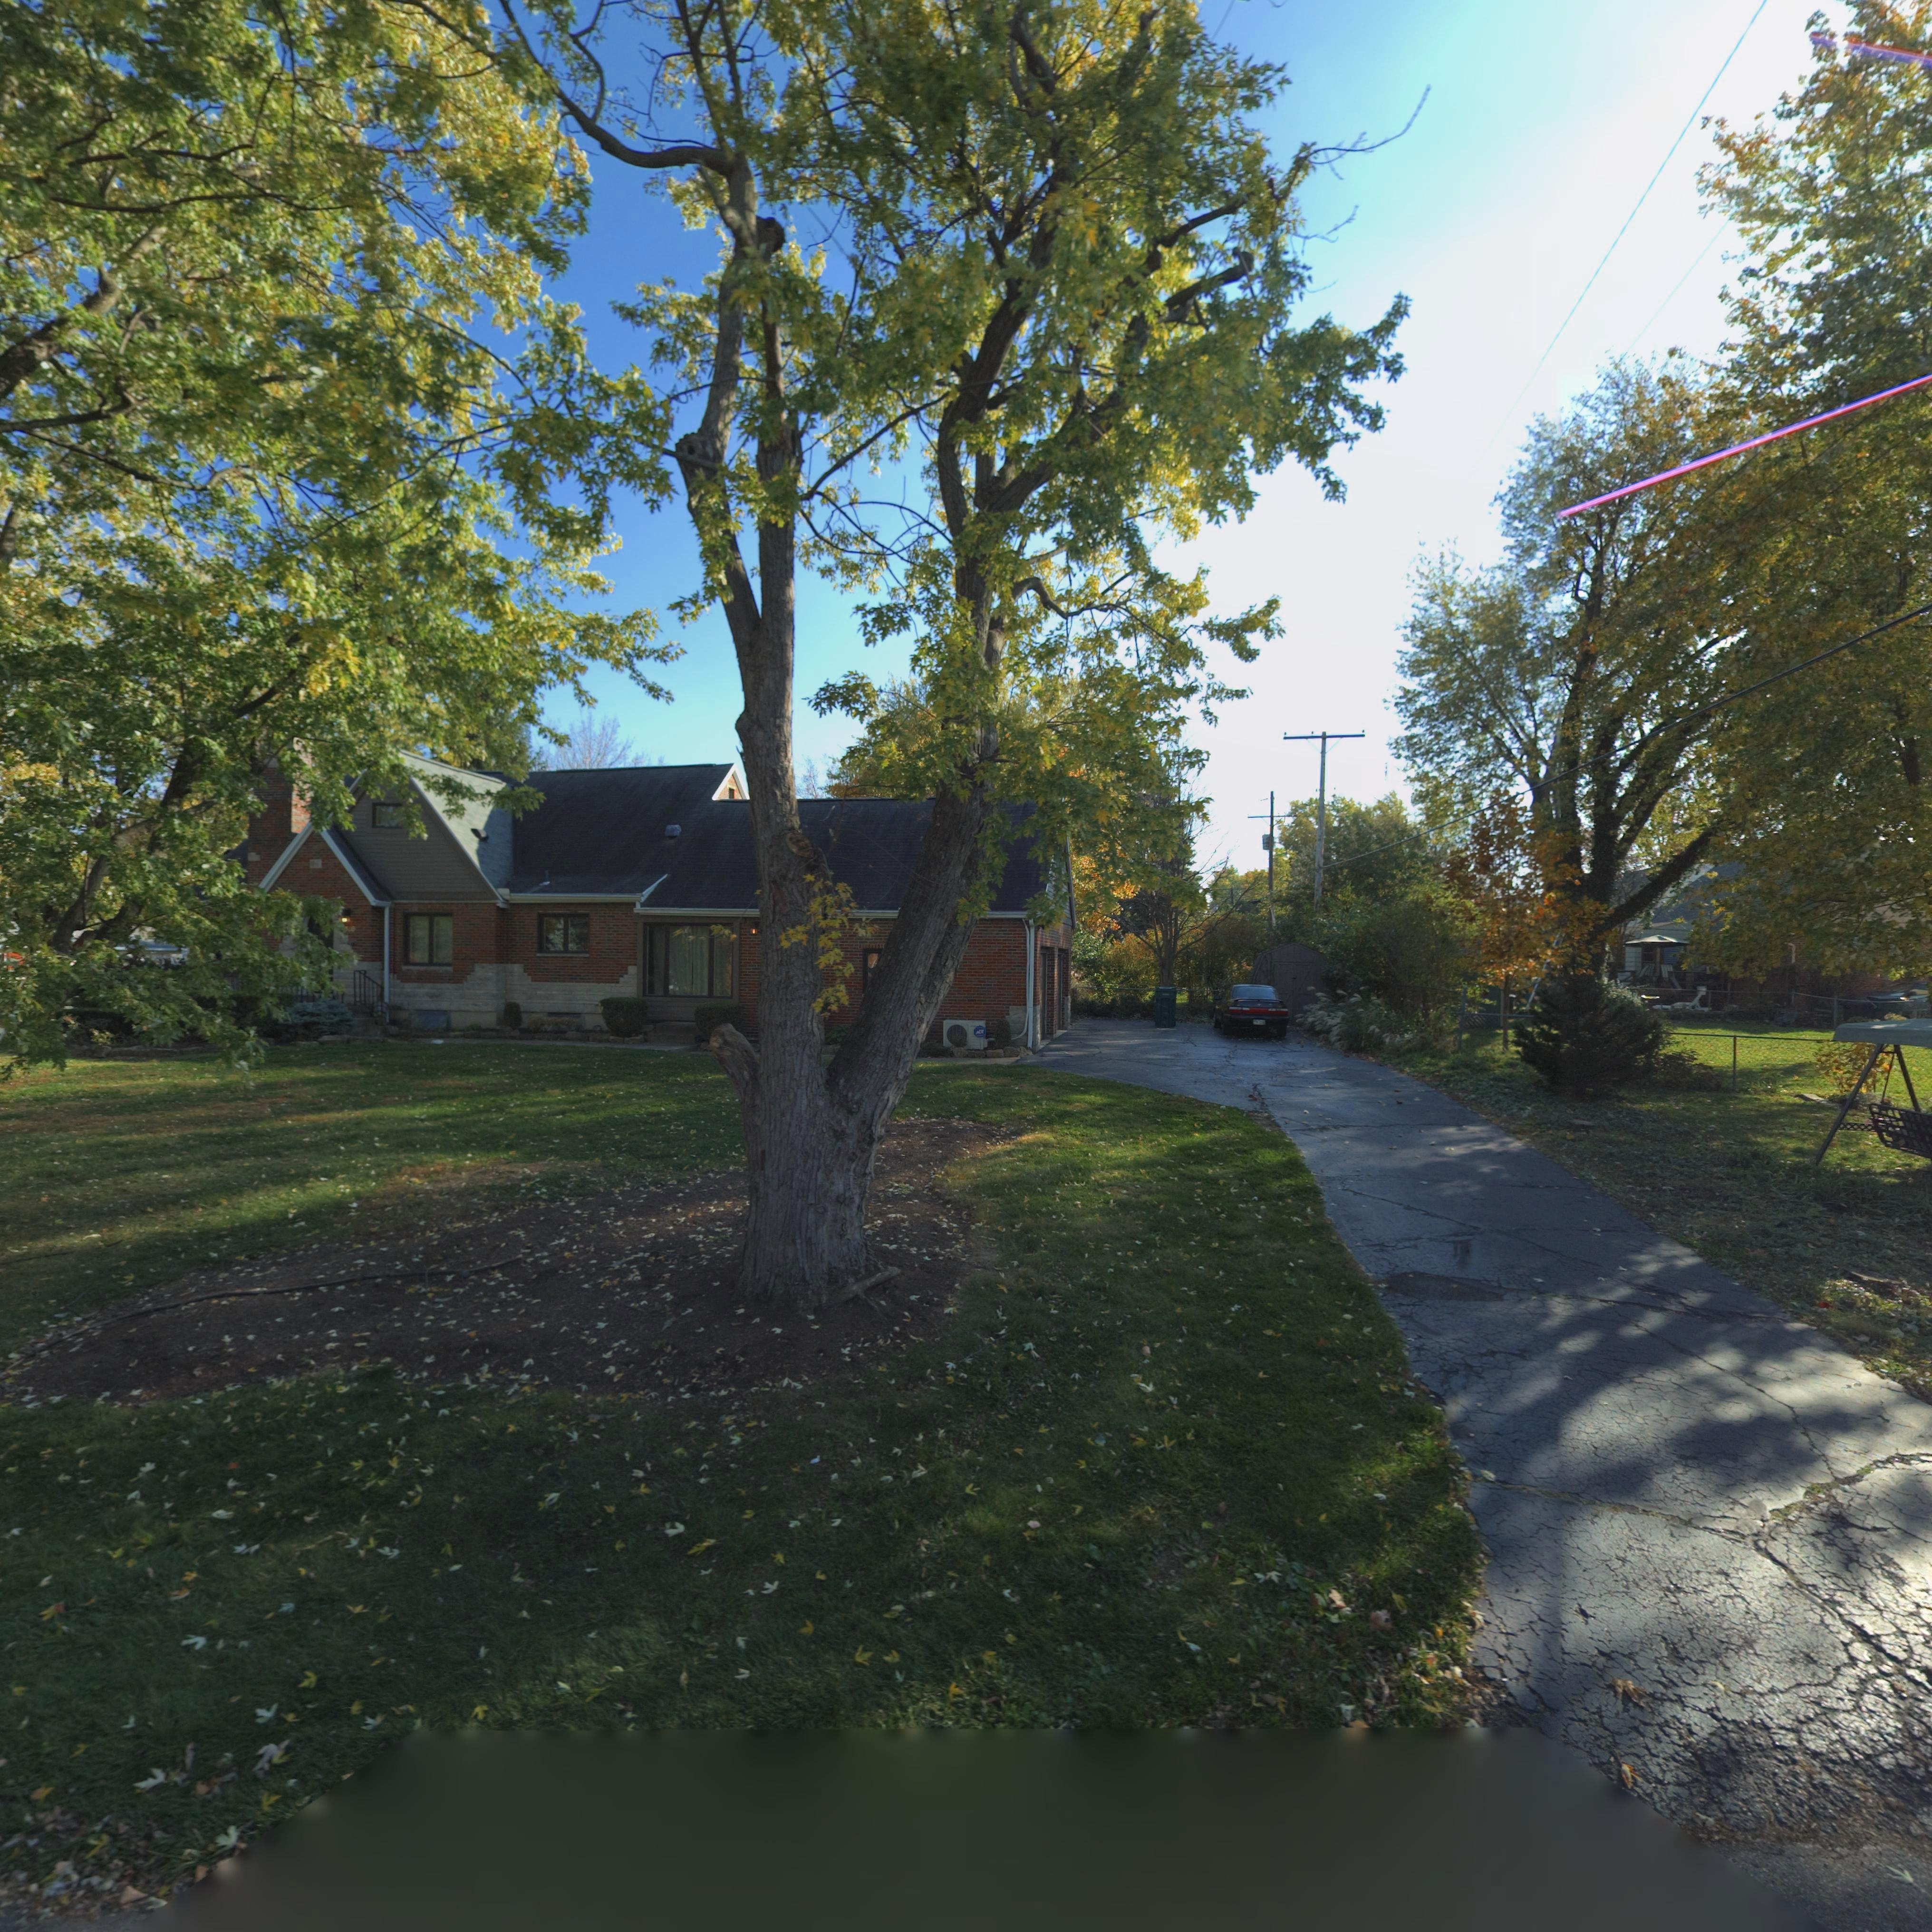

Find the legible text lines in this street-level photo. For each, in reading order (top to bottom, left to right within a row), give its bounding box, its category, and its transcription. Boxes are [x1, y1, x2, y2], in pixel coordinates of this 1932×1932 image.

[348, 925, 356, 932] StreetNumber: 1*